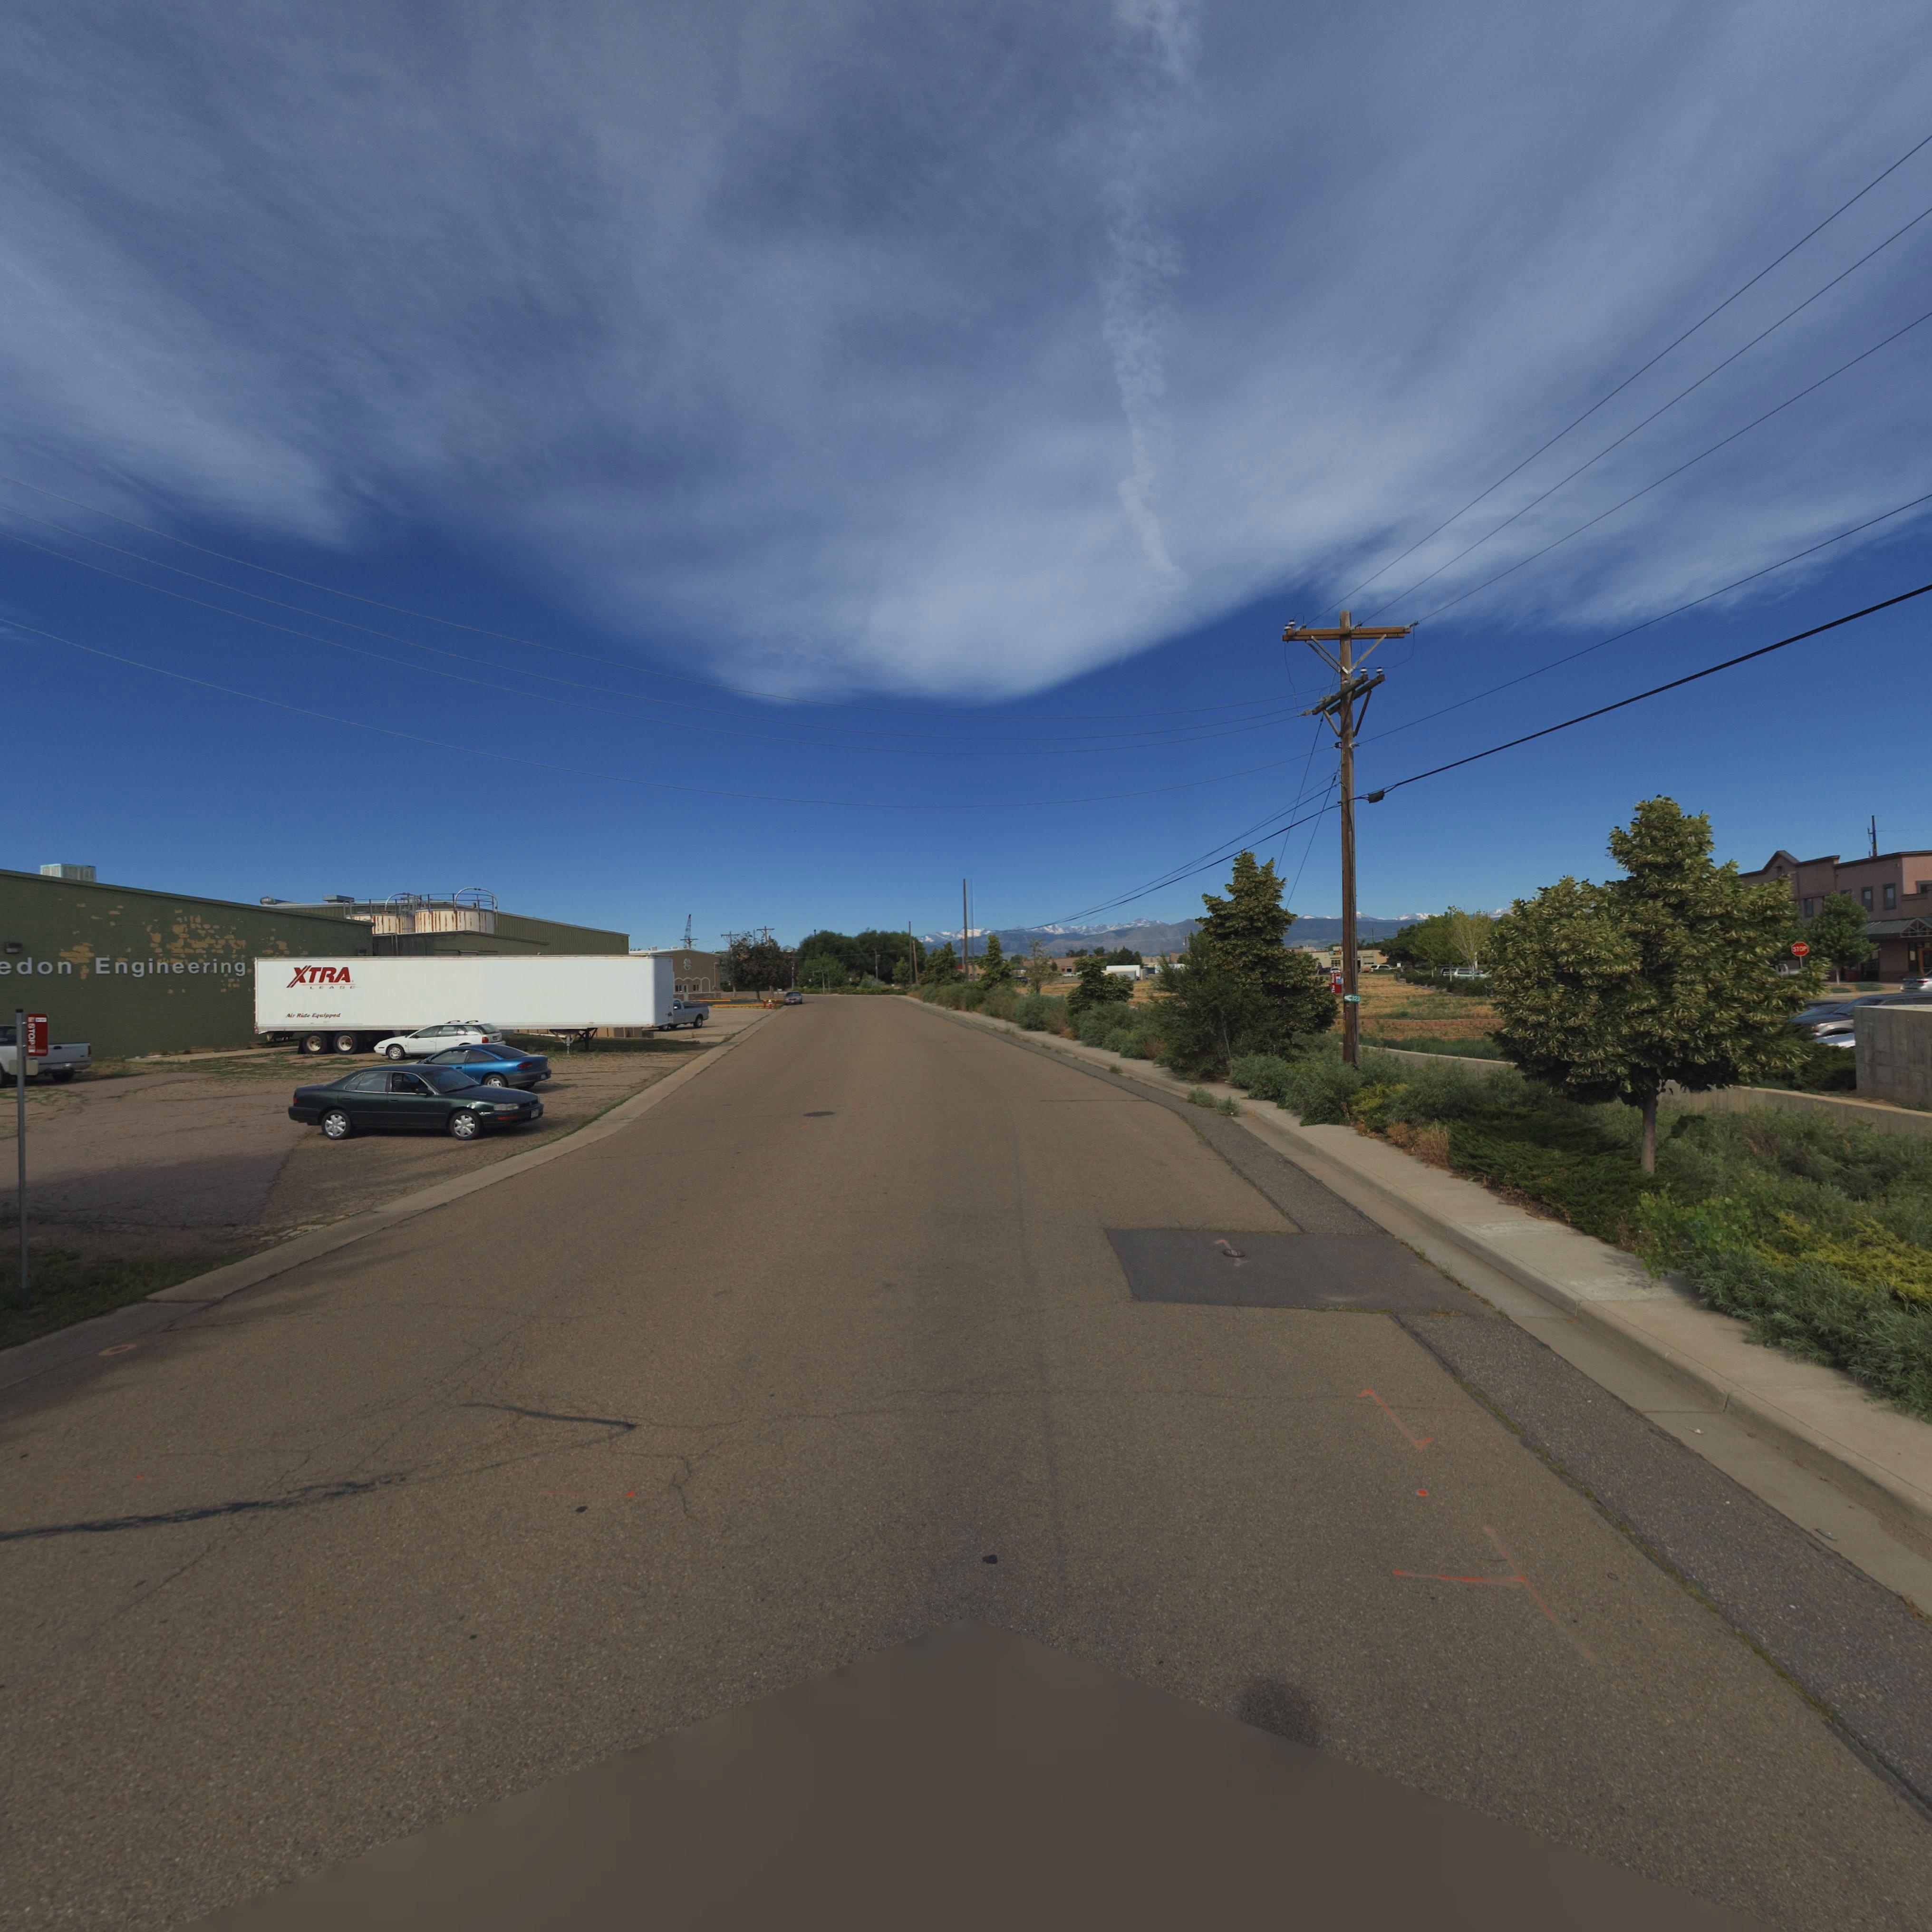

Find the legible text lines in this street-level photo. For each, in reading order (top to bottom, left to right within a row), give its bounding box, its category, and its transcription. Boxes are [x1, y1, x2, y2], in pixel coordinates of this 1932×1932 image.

[15, 956, 246, 977] BusinessName: don Engineering